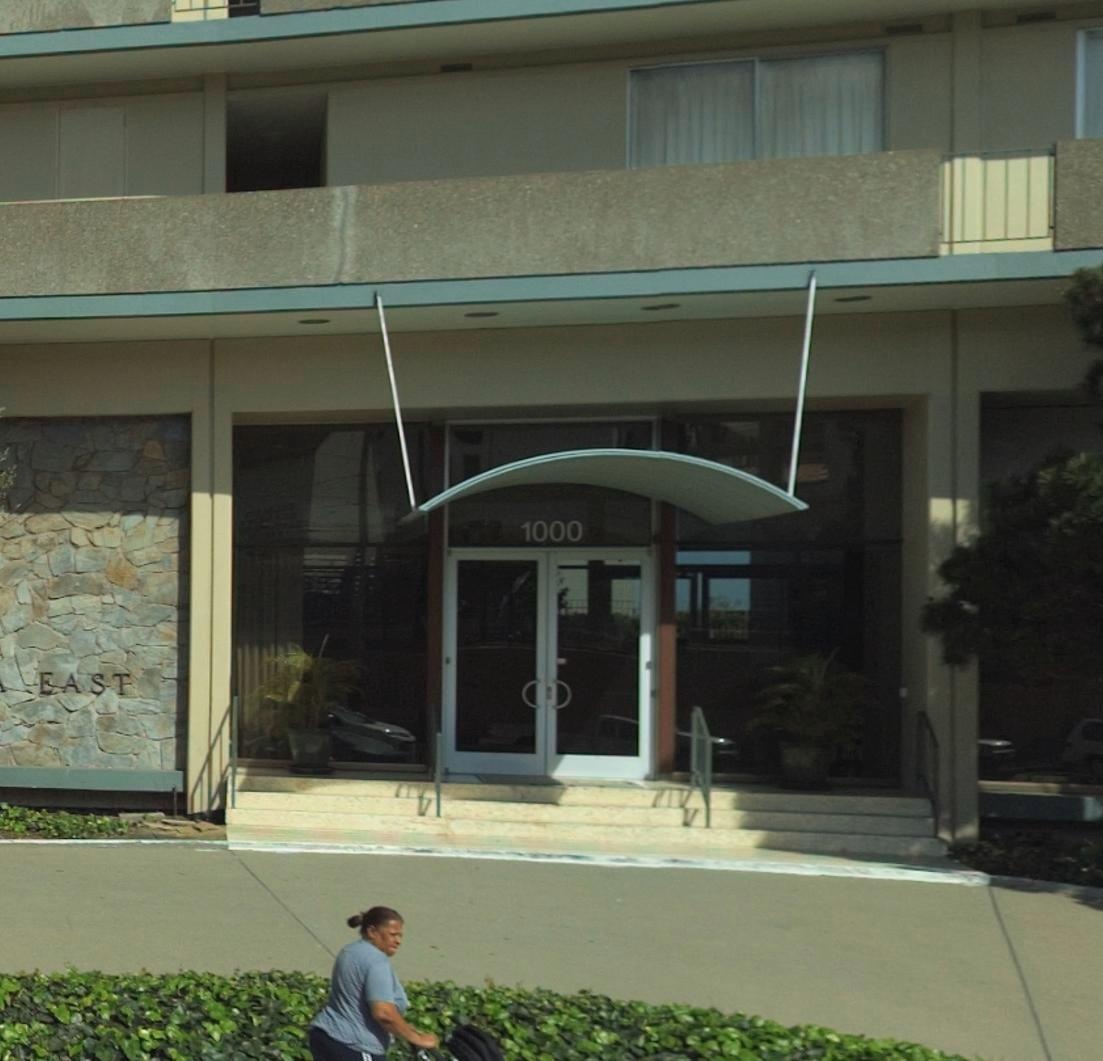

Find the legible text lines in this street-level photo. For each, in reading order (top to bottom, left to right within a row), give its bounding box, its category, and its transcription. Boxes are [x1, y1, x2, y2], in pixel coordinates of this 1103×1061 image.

[519, 519, 584, 543] StreetNumber: 1000
[38, 670, 132, 697] None: EAST